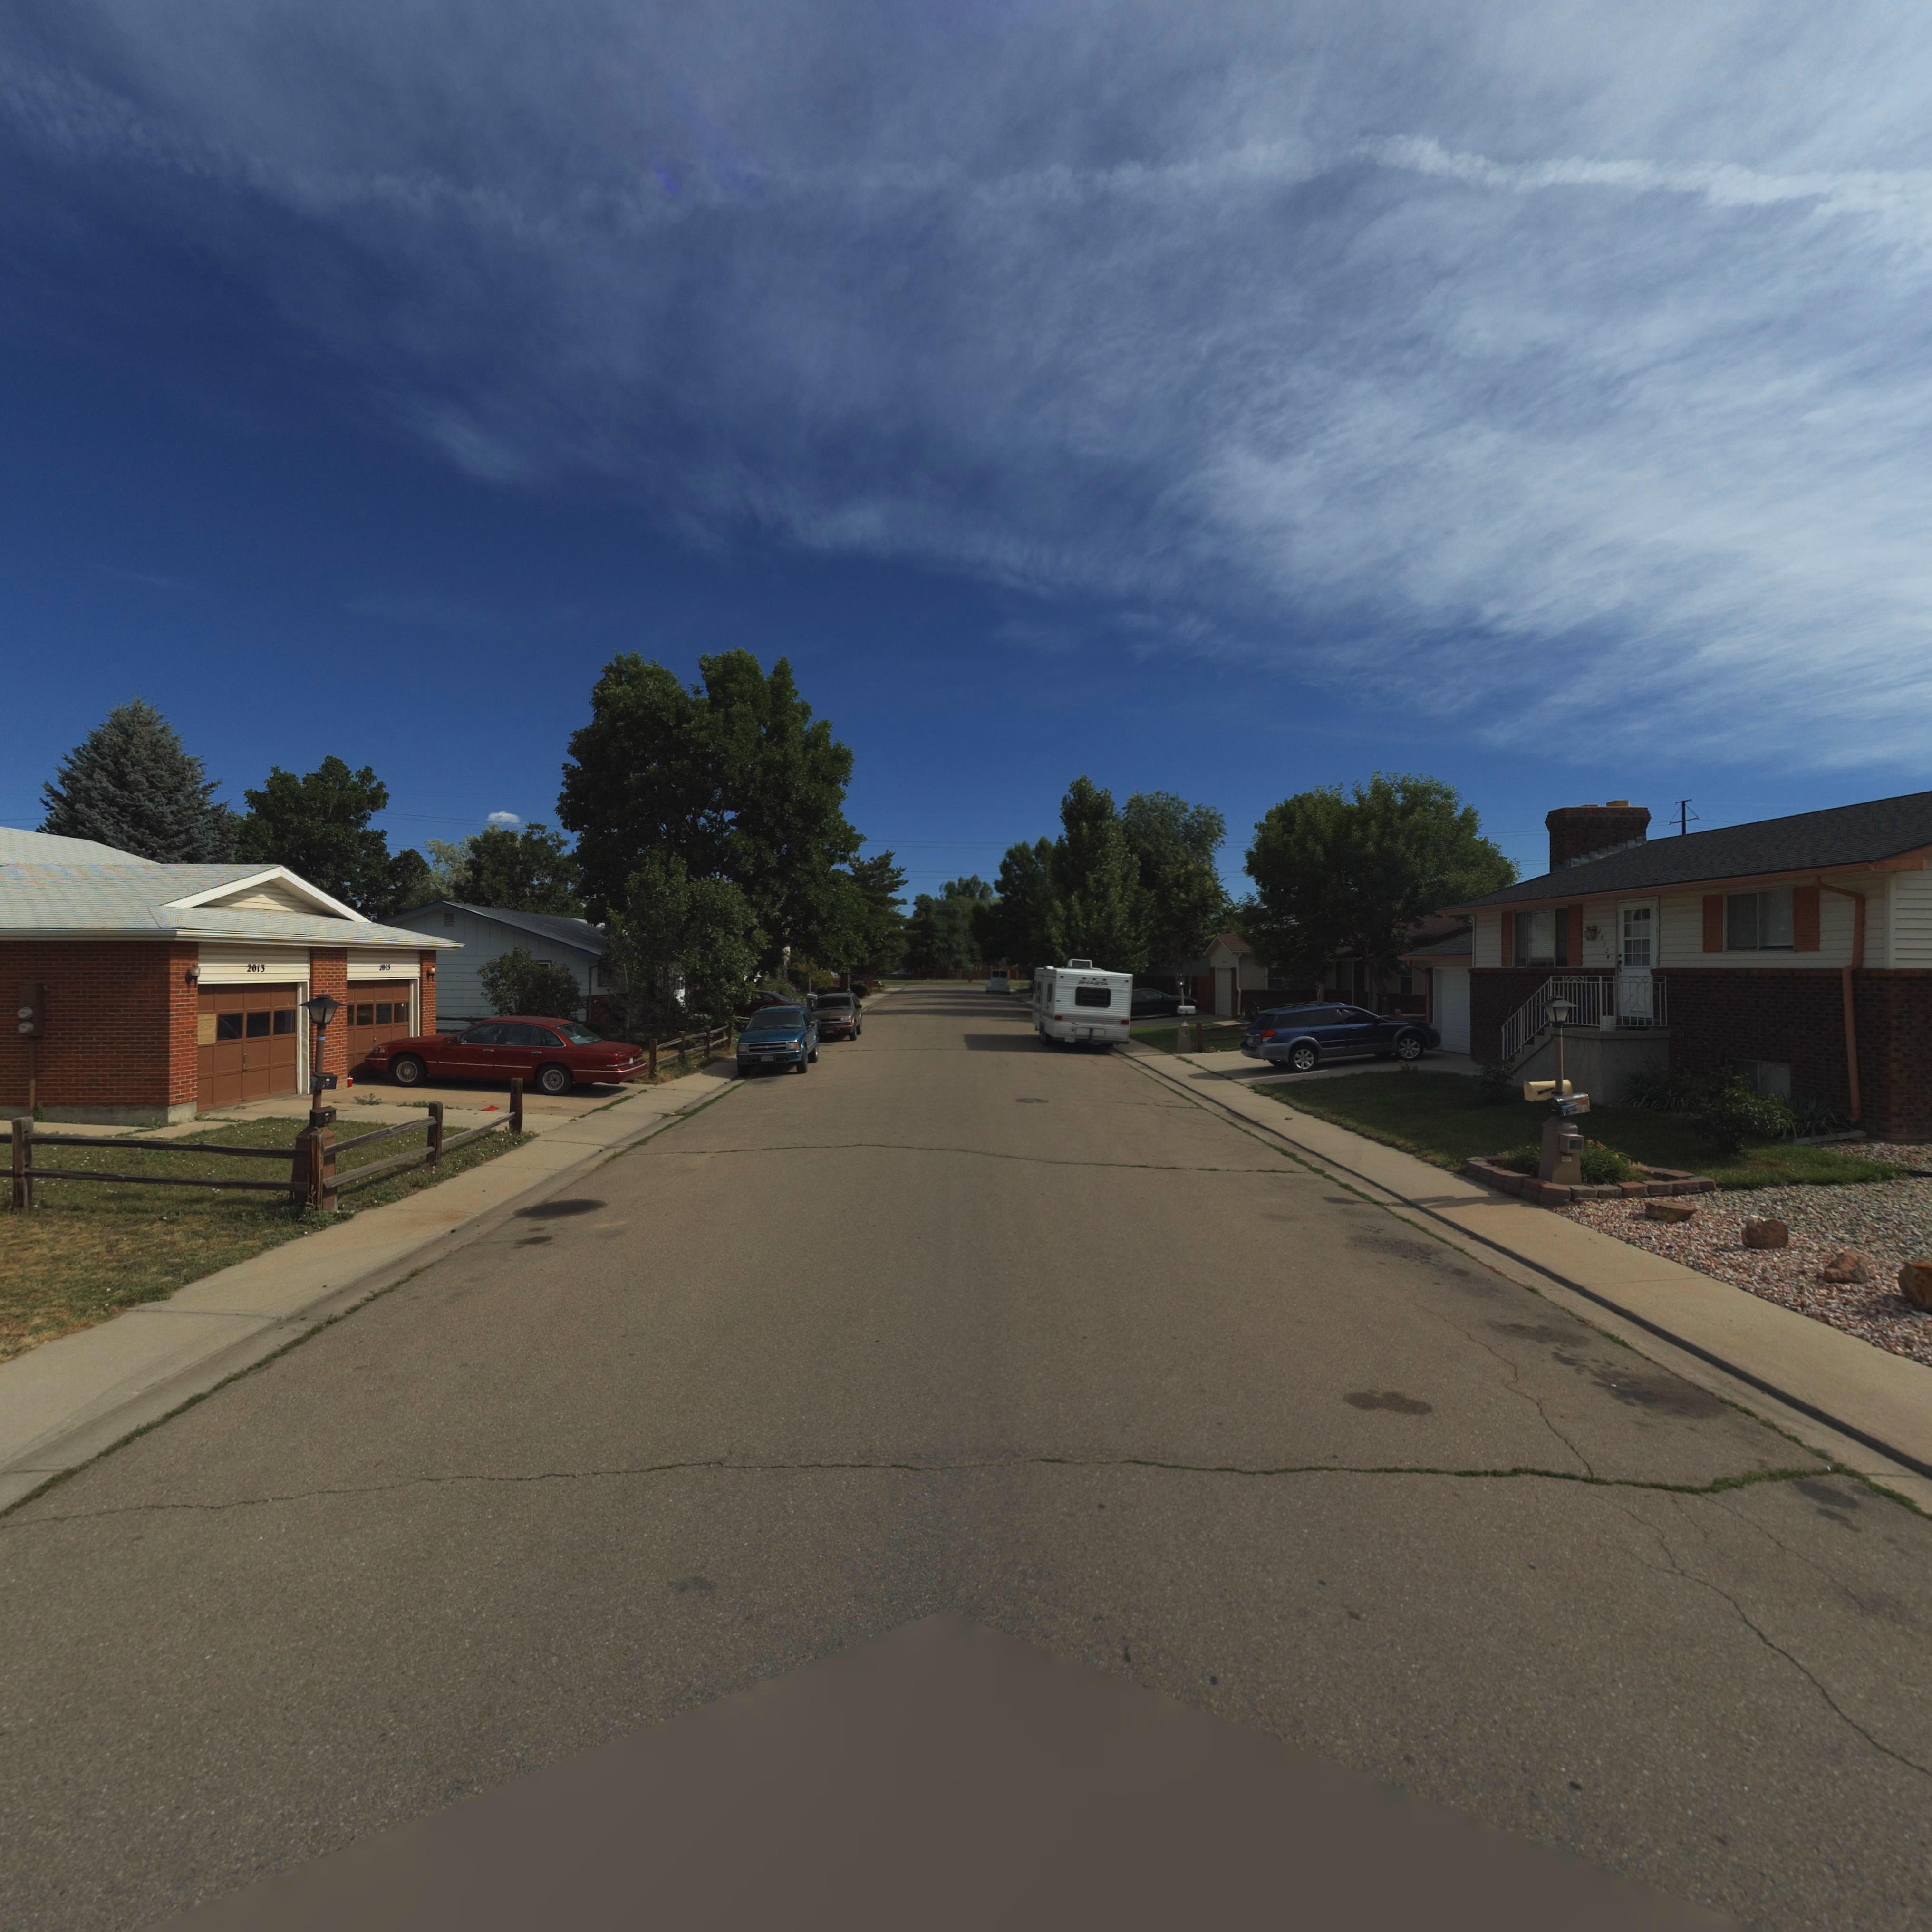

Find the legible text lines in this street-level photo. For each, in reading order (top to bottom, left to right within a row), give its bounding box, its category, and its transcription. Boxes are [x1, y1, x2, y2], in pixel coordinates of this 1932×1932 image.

[1597, 927, 1609, 953] StreetNumber: 2012
[246, 964, 265, 972] StreetNumber: 2013
[379, 964, 390, 971] StreetNumber: 2015